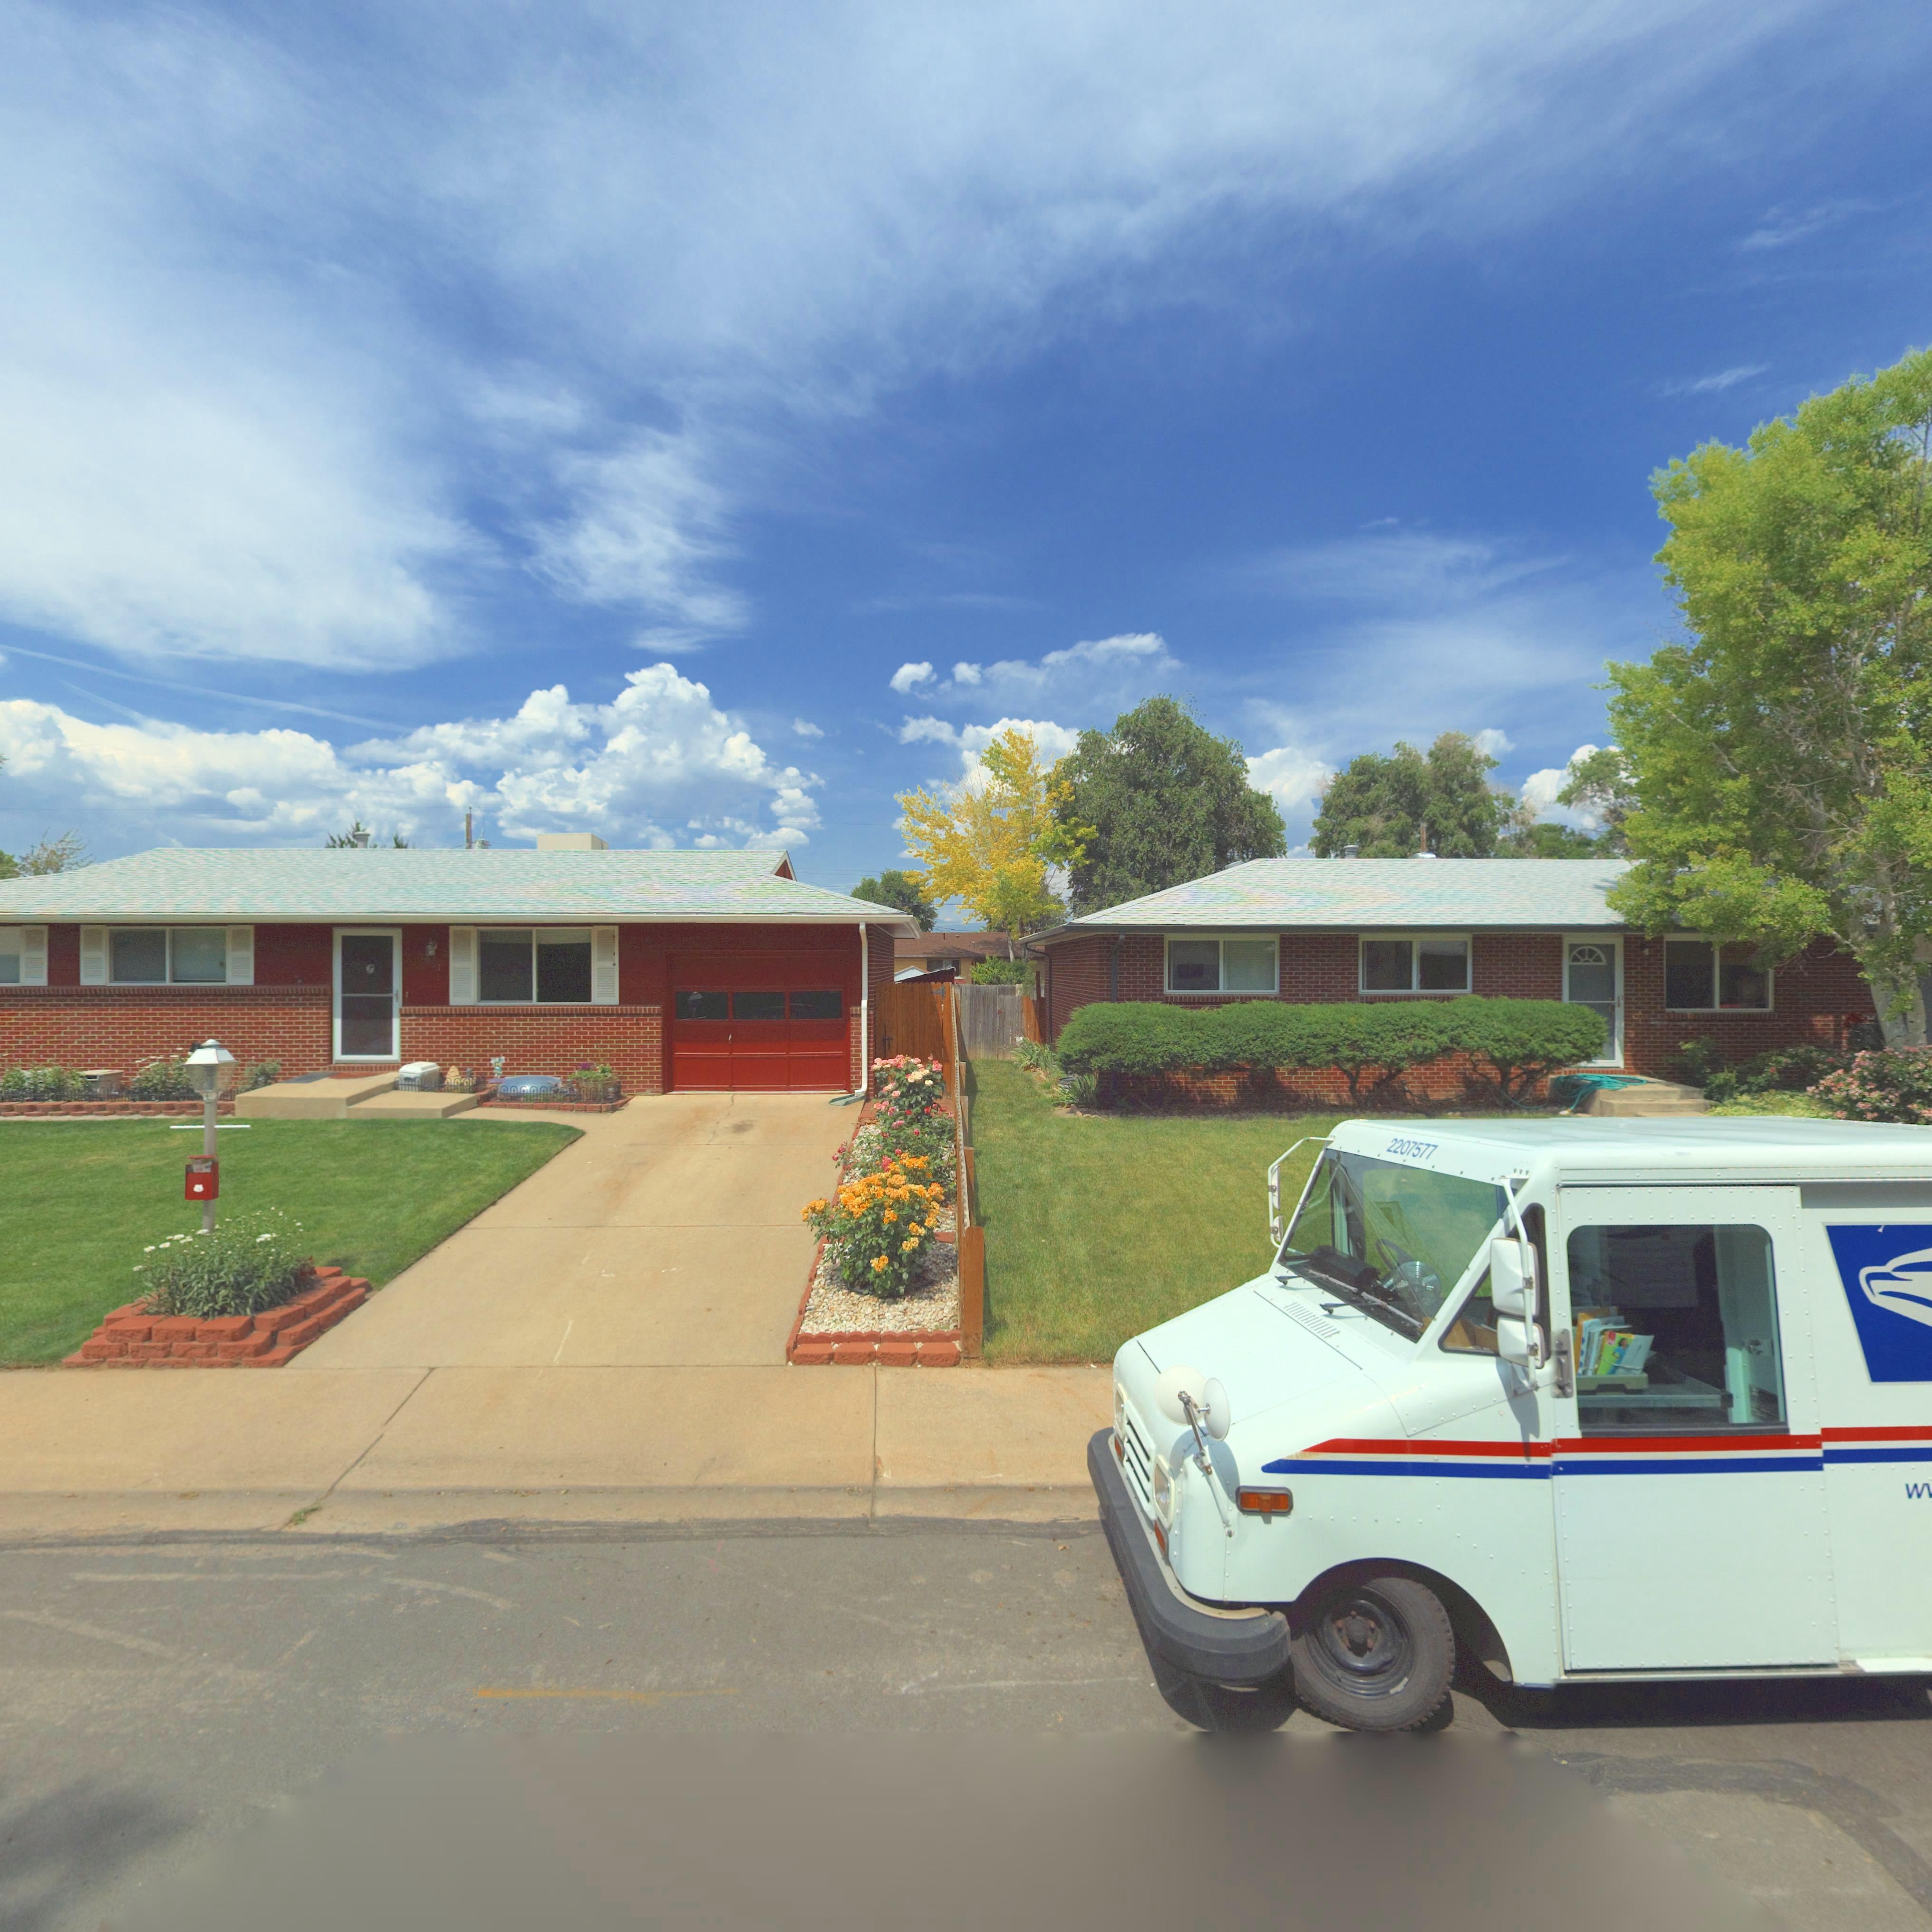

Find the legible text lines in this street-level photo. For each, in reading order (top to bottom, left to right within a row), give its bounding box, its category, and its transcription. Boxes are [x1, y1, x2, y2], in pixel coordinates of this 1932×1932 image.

[425, 956, 441, 971] StreetNumber: **1